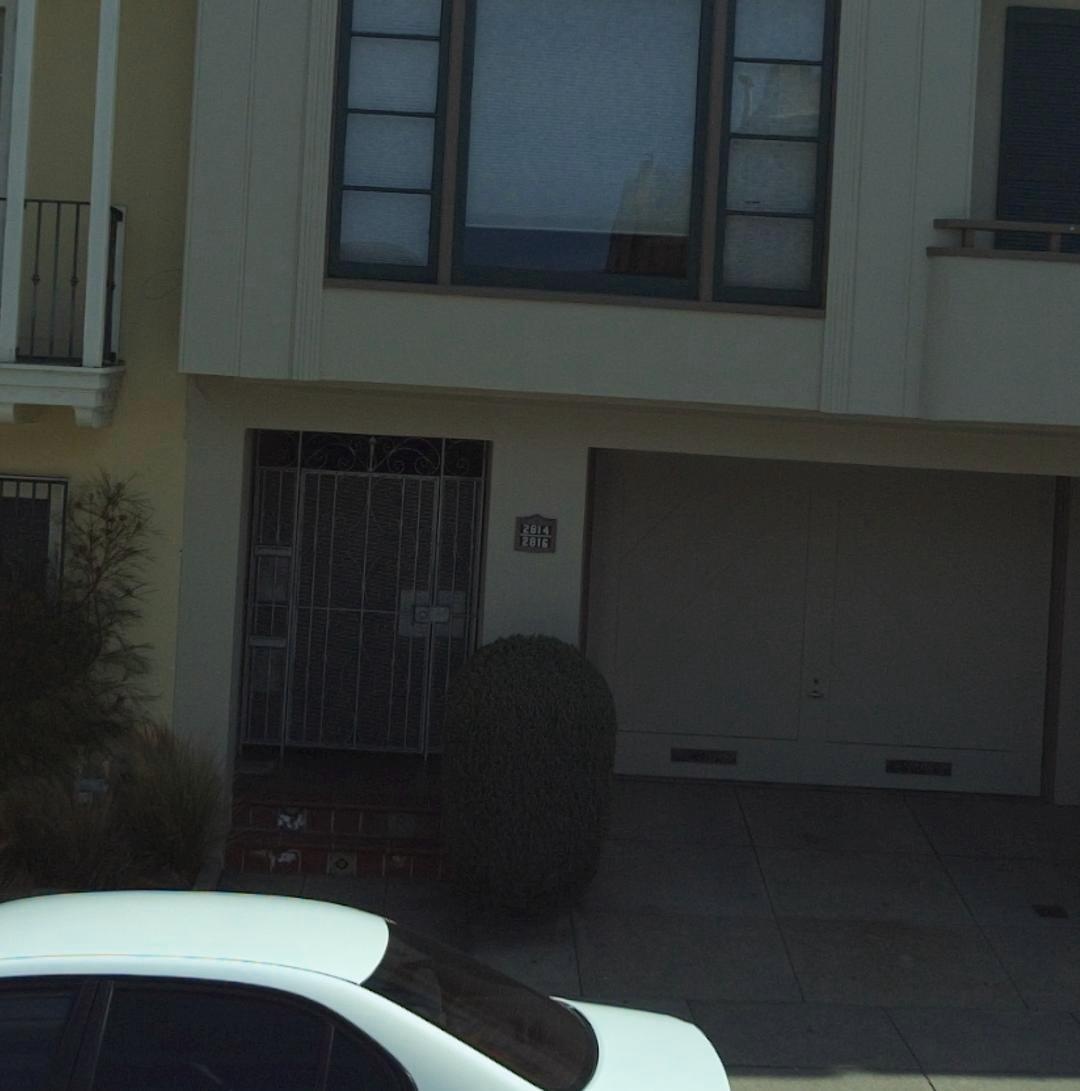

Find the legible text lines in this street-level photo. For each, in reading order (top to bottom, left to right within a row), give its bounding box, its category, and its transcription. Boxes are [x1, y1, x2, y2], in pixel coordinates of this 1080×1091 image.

[521, 522, 550, 537] StreetNumber: 2814
[521, 535, 549, 550] StreetNumber: 2816